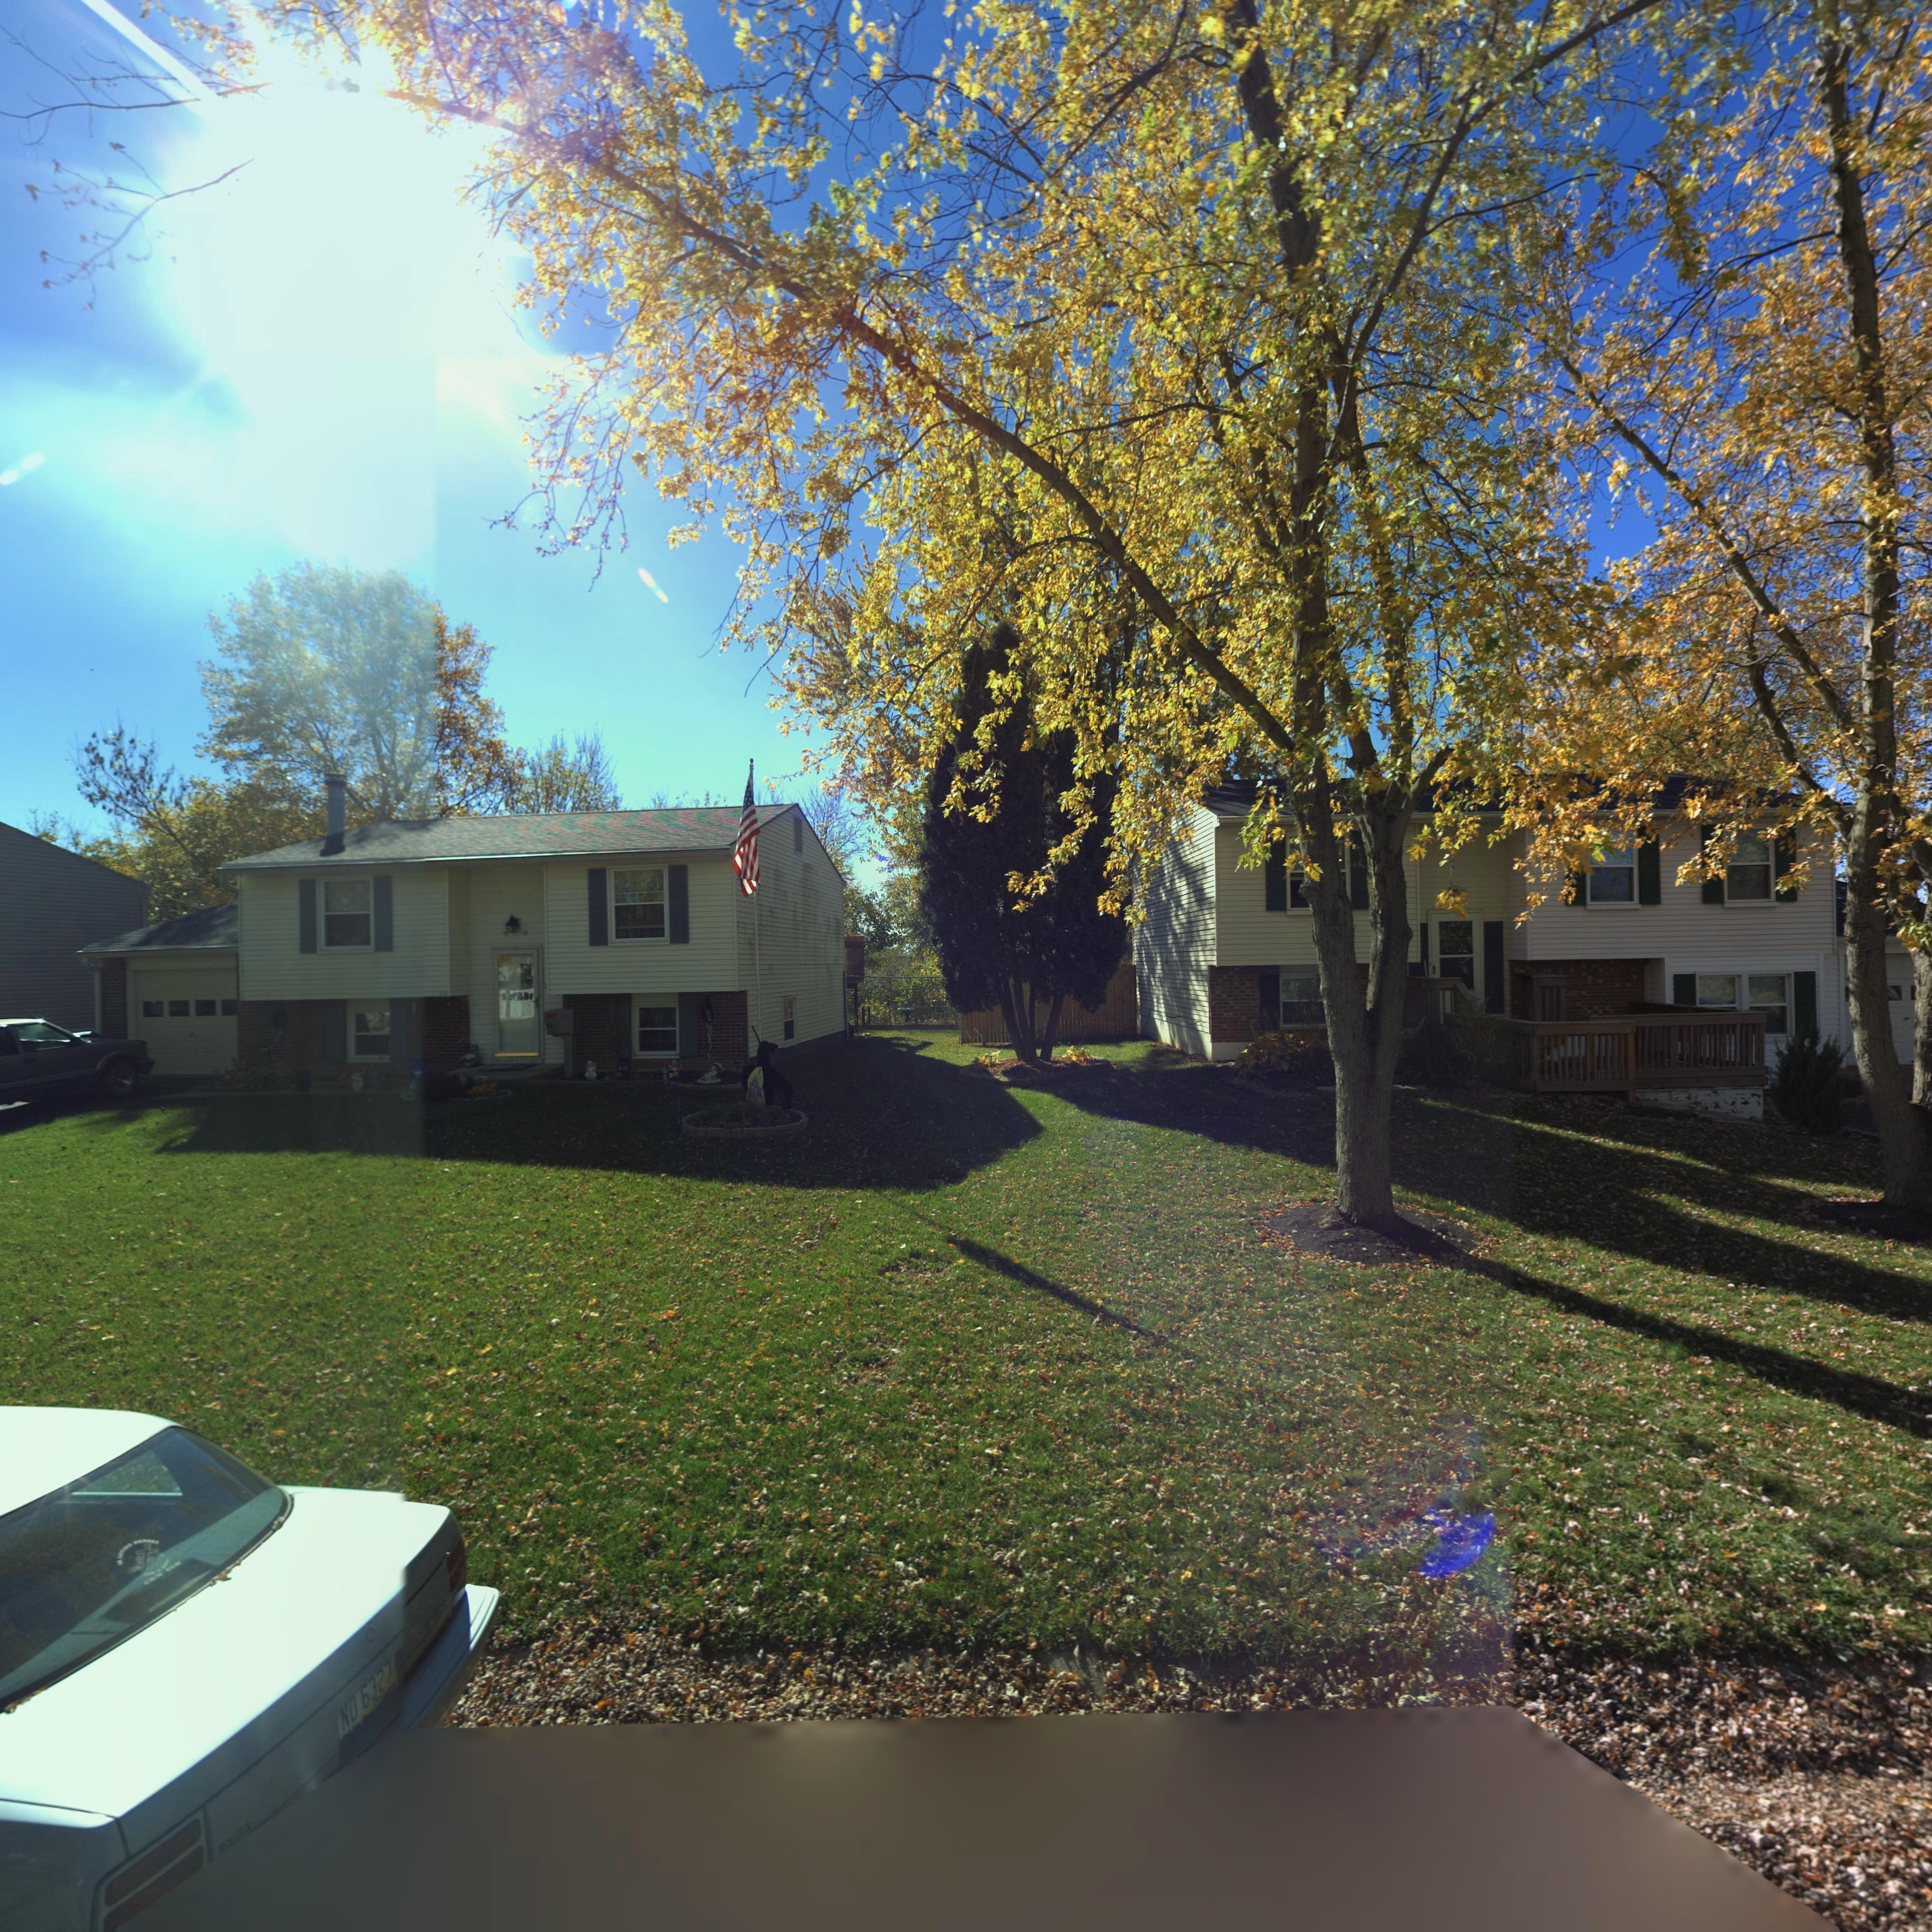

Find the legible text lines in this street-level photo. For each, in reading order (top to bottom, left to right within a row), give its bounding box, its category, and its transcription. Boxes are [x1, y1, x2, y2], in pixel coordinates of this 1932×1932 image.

[438, 990, 448, 996] StreetNumber: 711
[335, 1653, 397, 1739] None: ND 6327